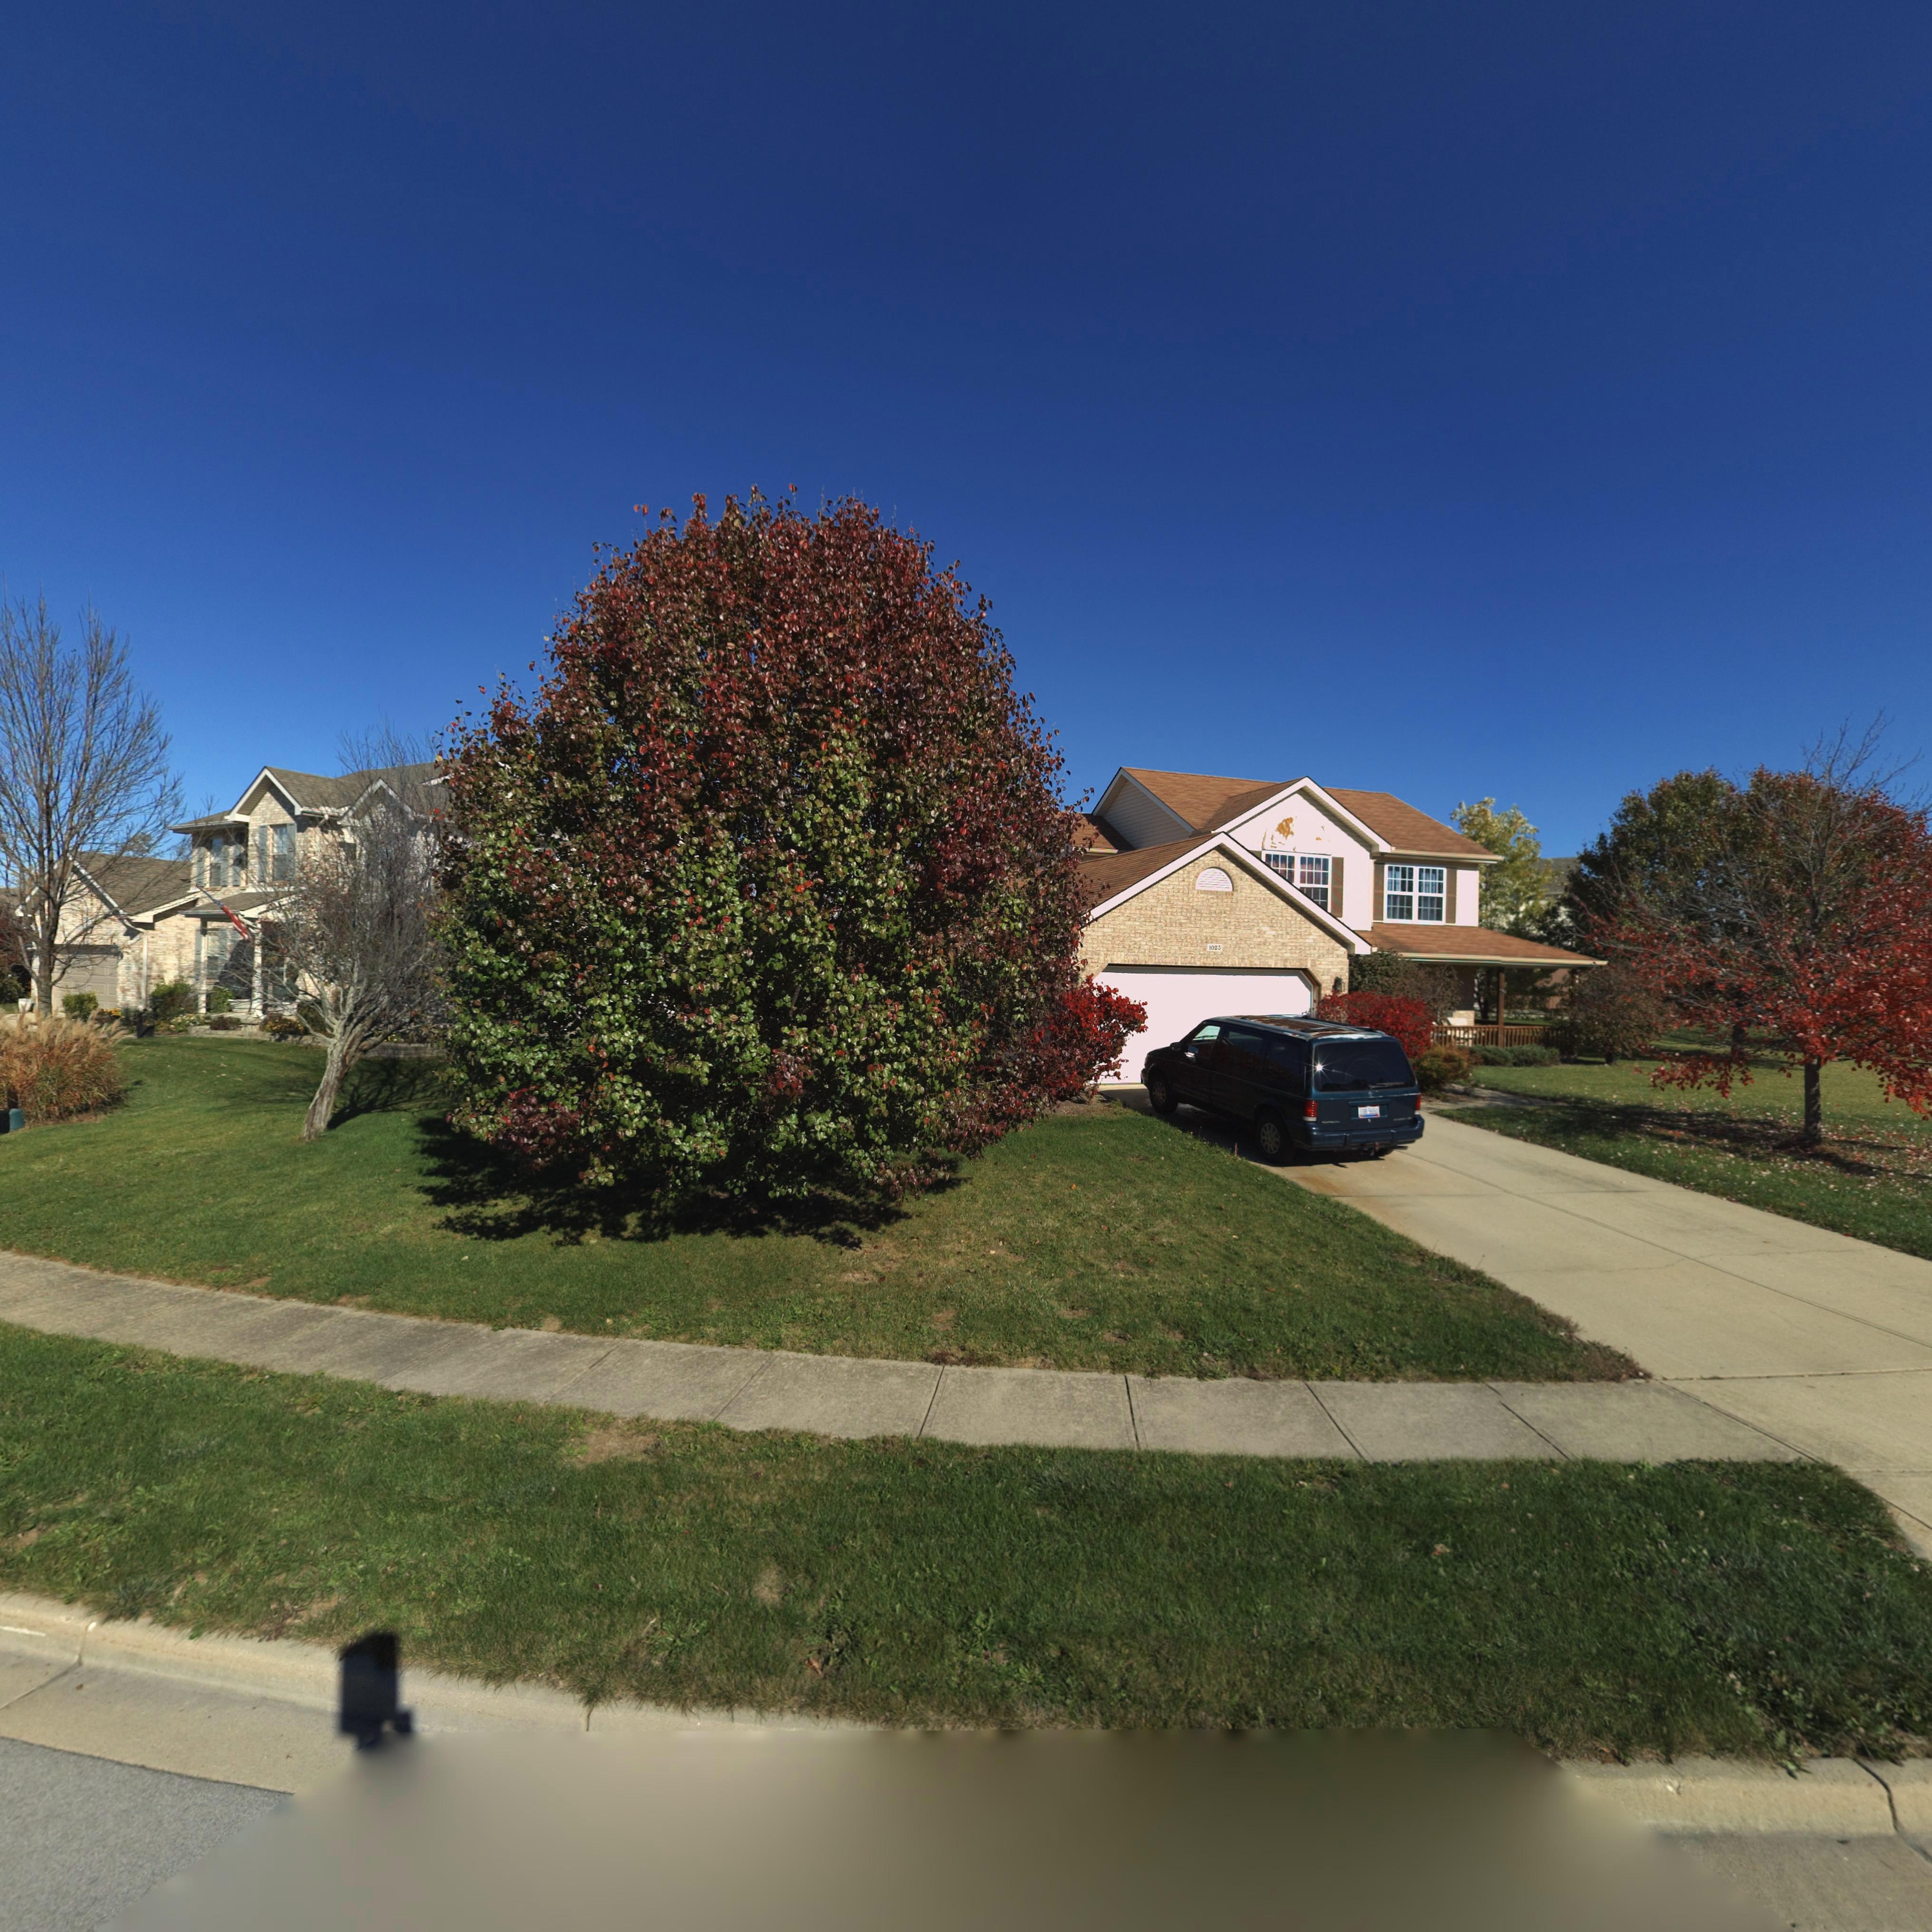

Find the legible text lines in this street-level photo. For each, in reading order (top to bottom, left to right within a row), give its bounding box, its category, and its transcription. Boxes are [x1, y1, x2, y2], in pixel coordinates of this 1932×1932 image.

[1208, 944, 1222, 951] StreetNumber: 1023